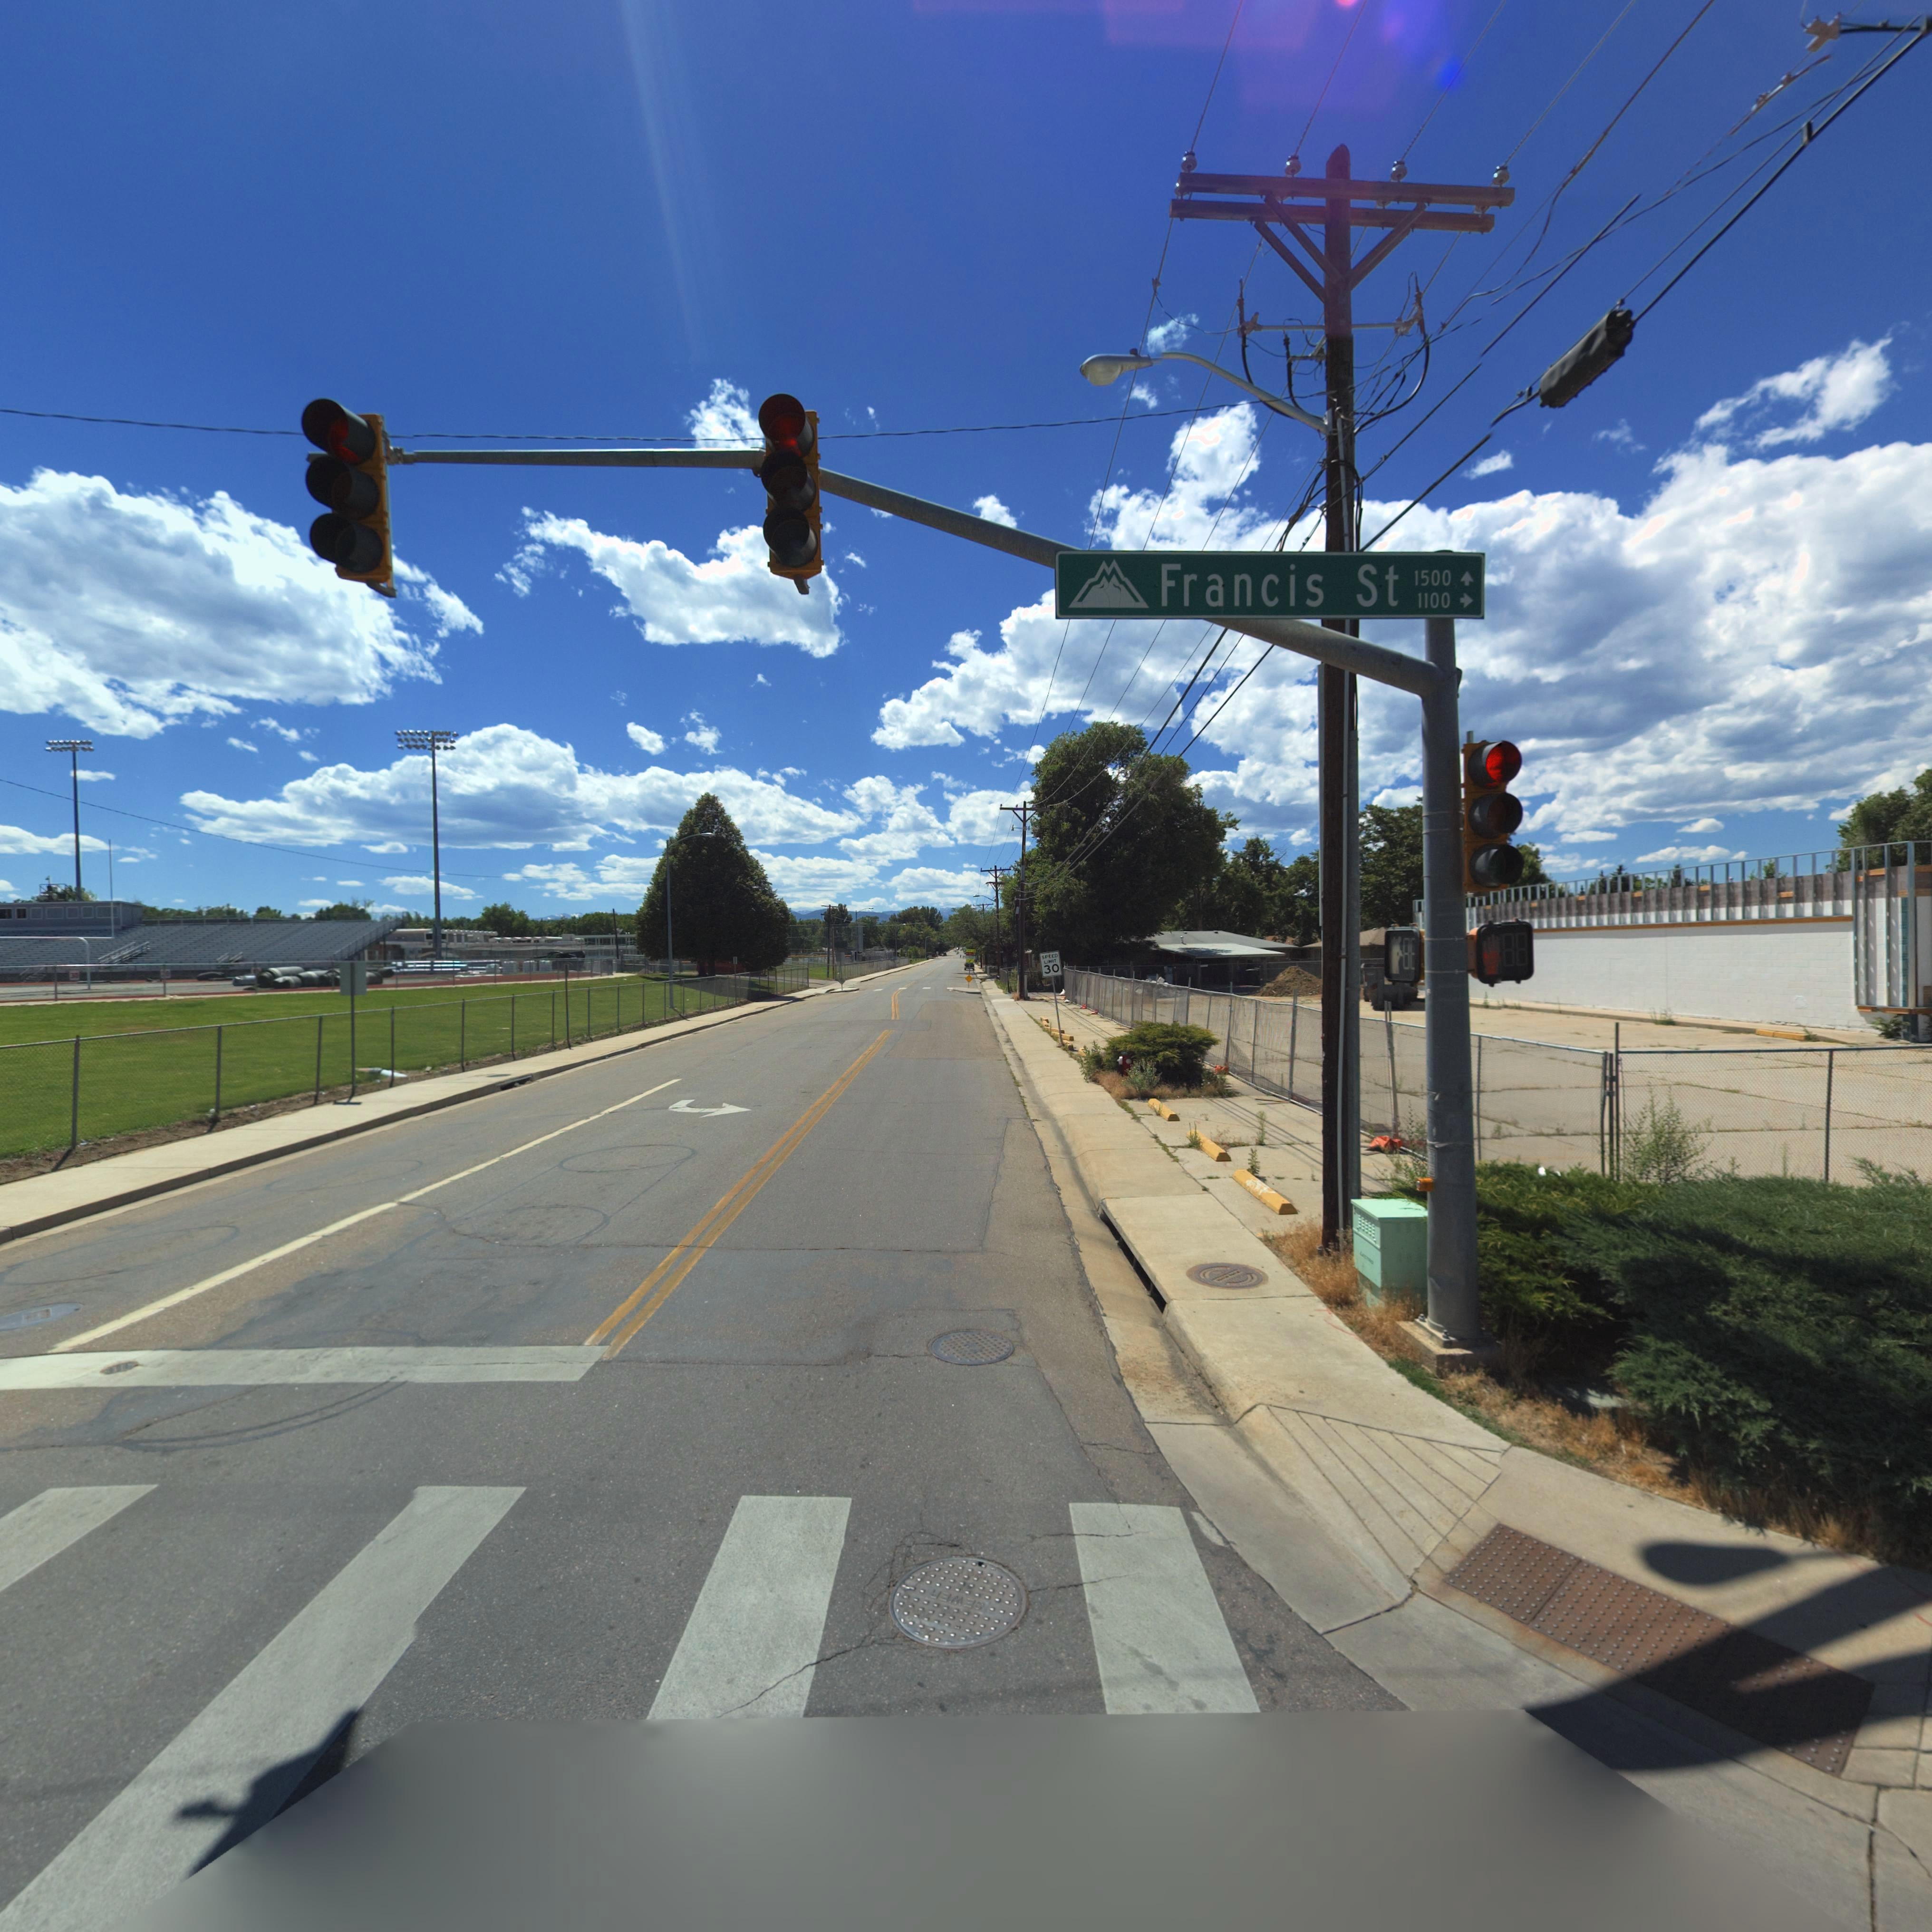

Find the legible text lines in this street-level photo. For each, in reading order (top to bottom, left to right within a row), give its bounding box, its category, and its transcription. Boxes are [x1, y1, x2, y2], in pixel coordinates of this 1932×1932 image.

[1159, 562, 1401, 608] StreetName: Francis St
[1414, 569, 1452, 588] StreetNumberRange: 1500
[1417, 591, 1475, 609] StreetNumberRange: 1100 ->